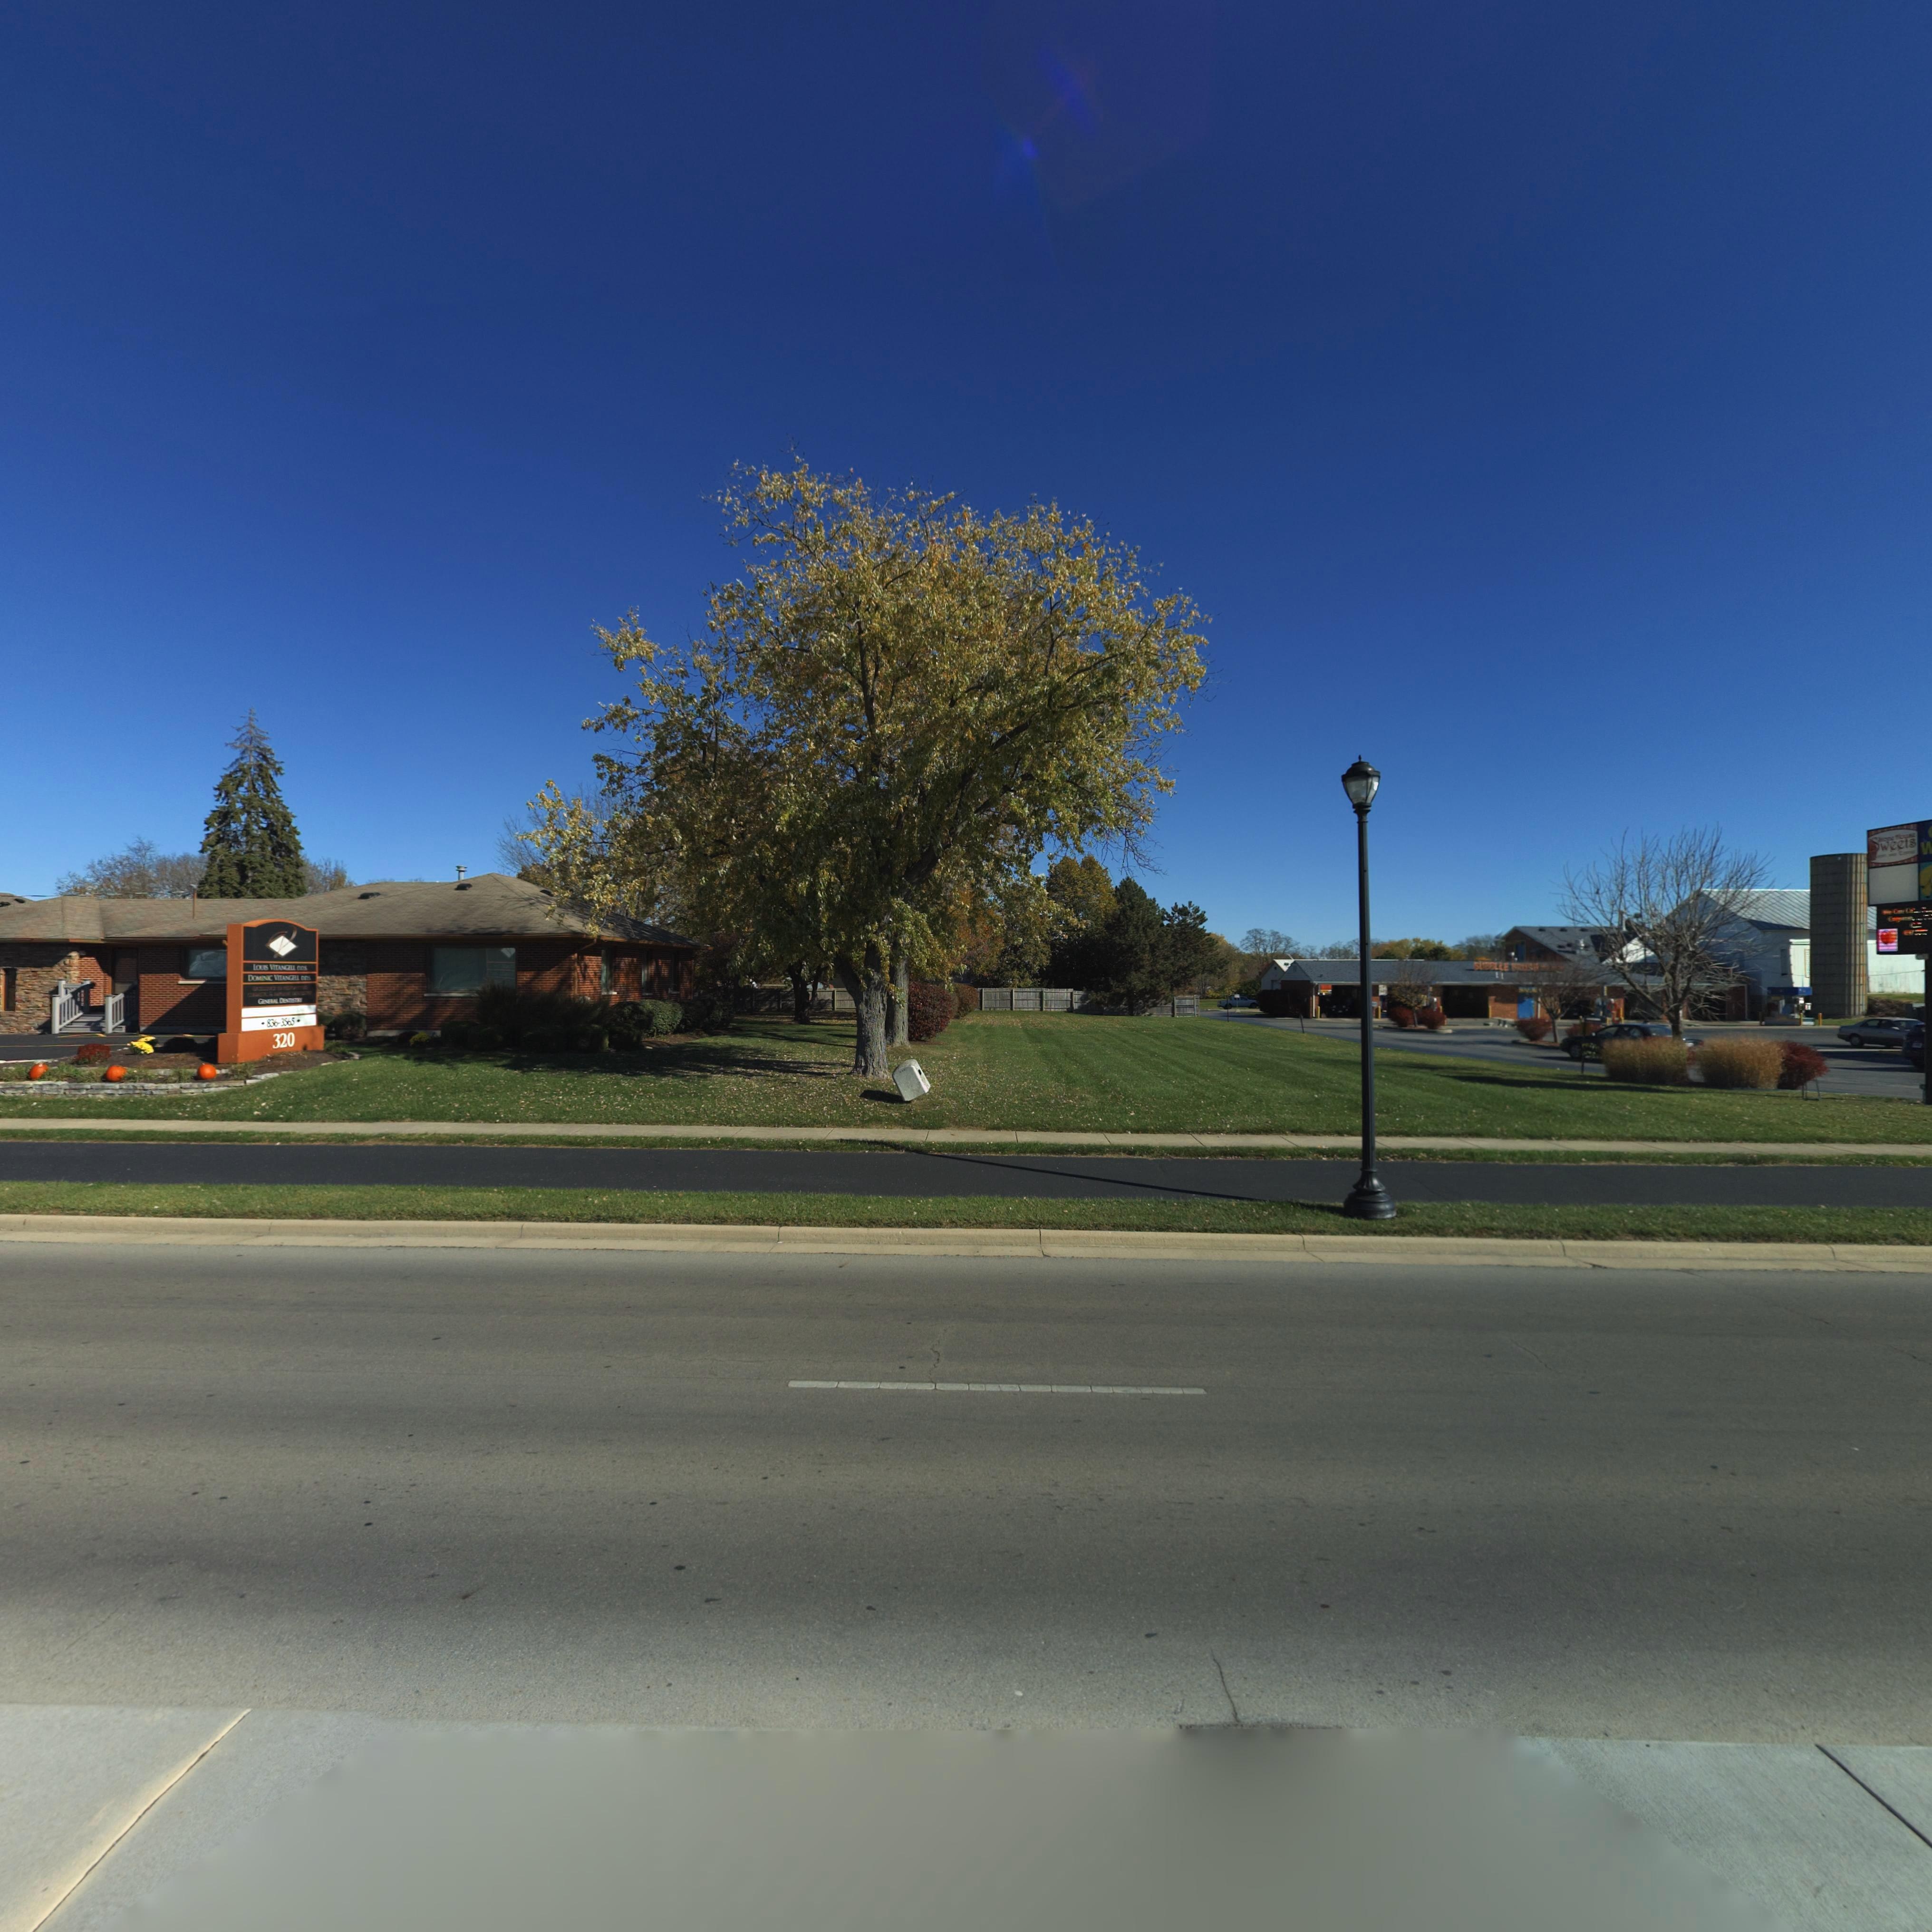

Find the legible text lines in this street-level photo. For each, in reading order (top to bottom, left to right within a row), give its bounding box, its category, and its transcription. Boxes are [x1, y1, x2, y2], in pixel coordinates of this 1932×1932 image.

[1867, 836, 1917, 854] BusinessName: Sweets
[252, 963, 309, 971] None: LOUIS VITANGELL DDS
[1473, 961, 1540, 973] BusinessName: BUBBLLE BRUSH
[247, 974, 312, 983] None: DOMINIC VITANGELL D**
[257, 996, 304, 1005] None: GENER** DENTI****
[266, 1016, 296, 1028] None: 836-3565
[271, 1031, 296, 1050] StreetNumber: 320